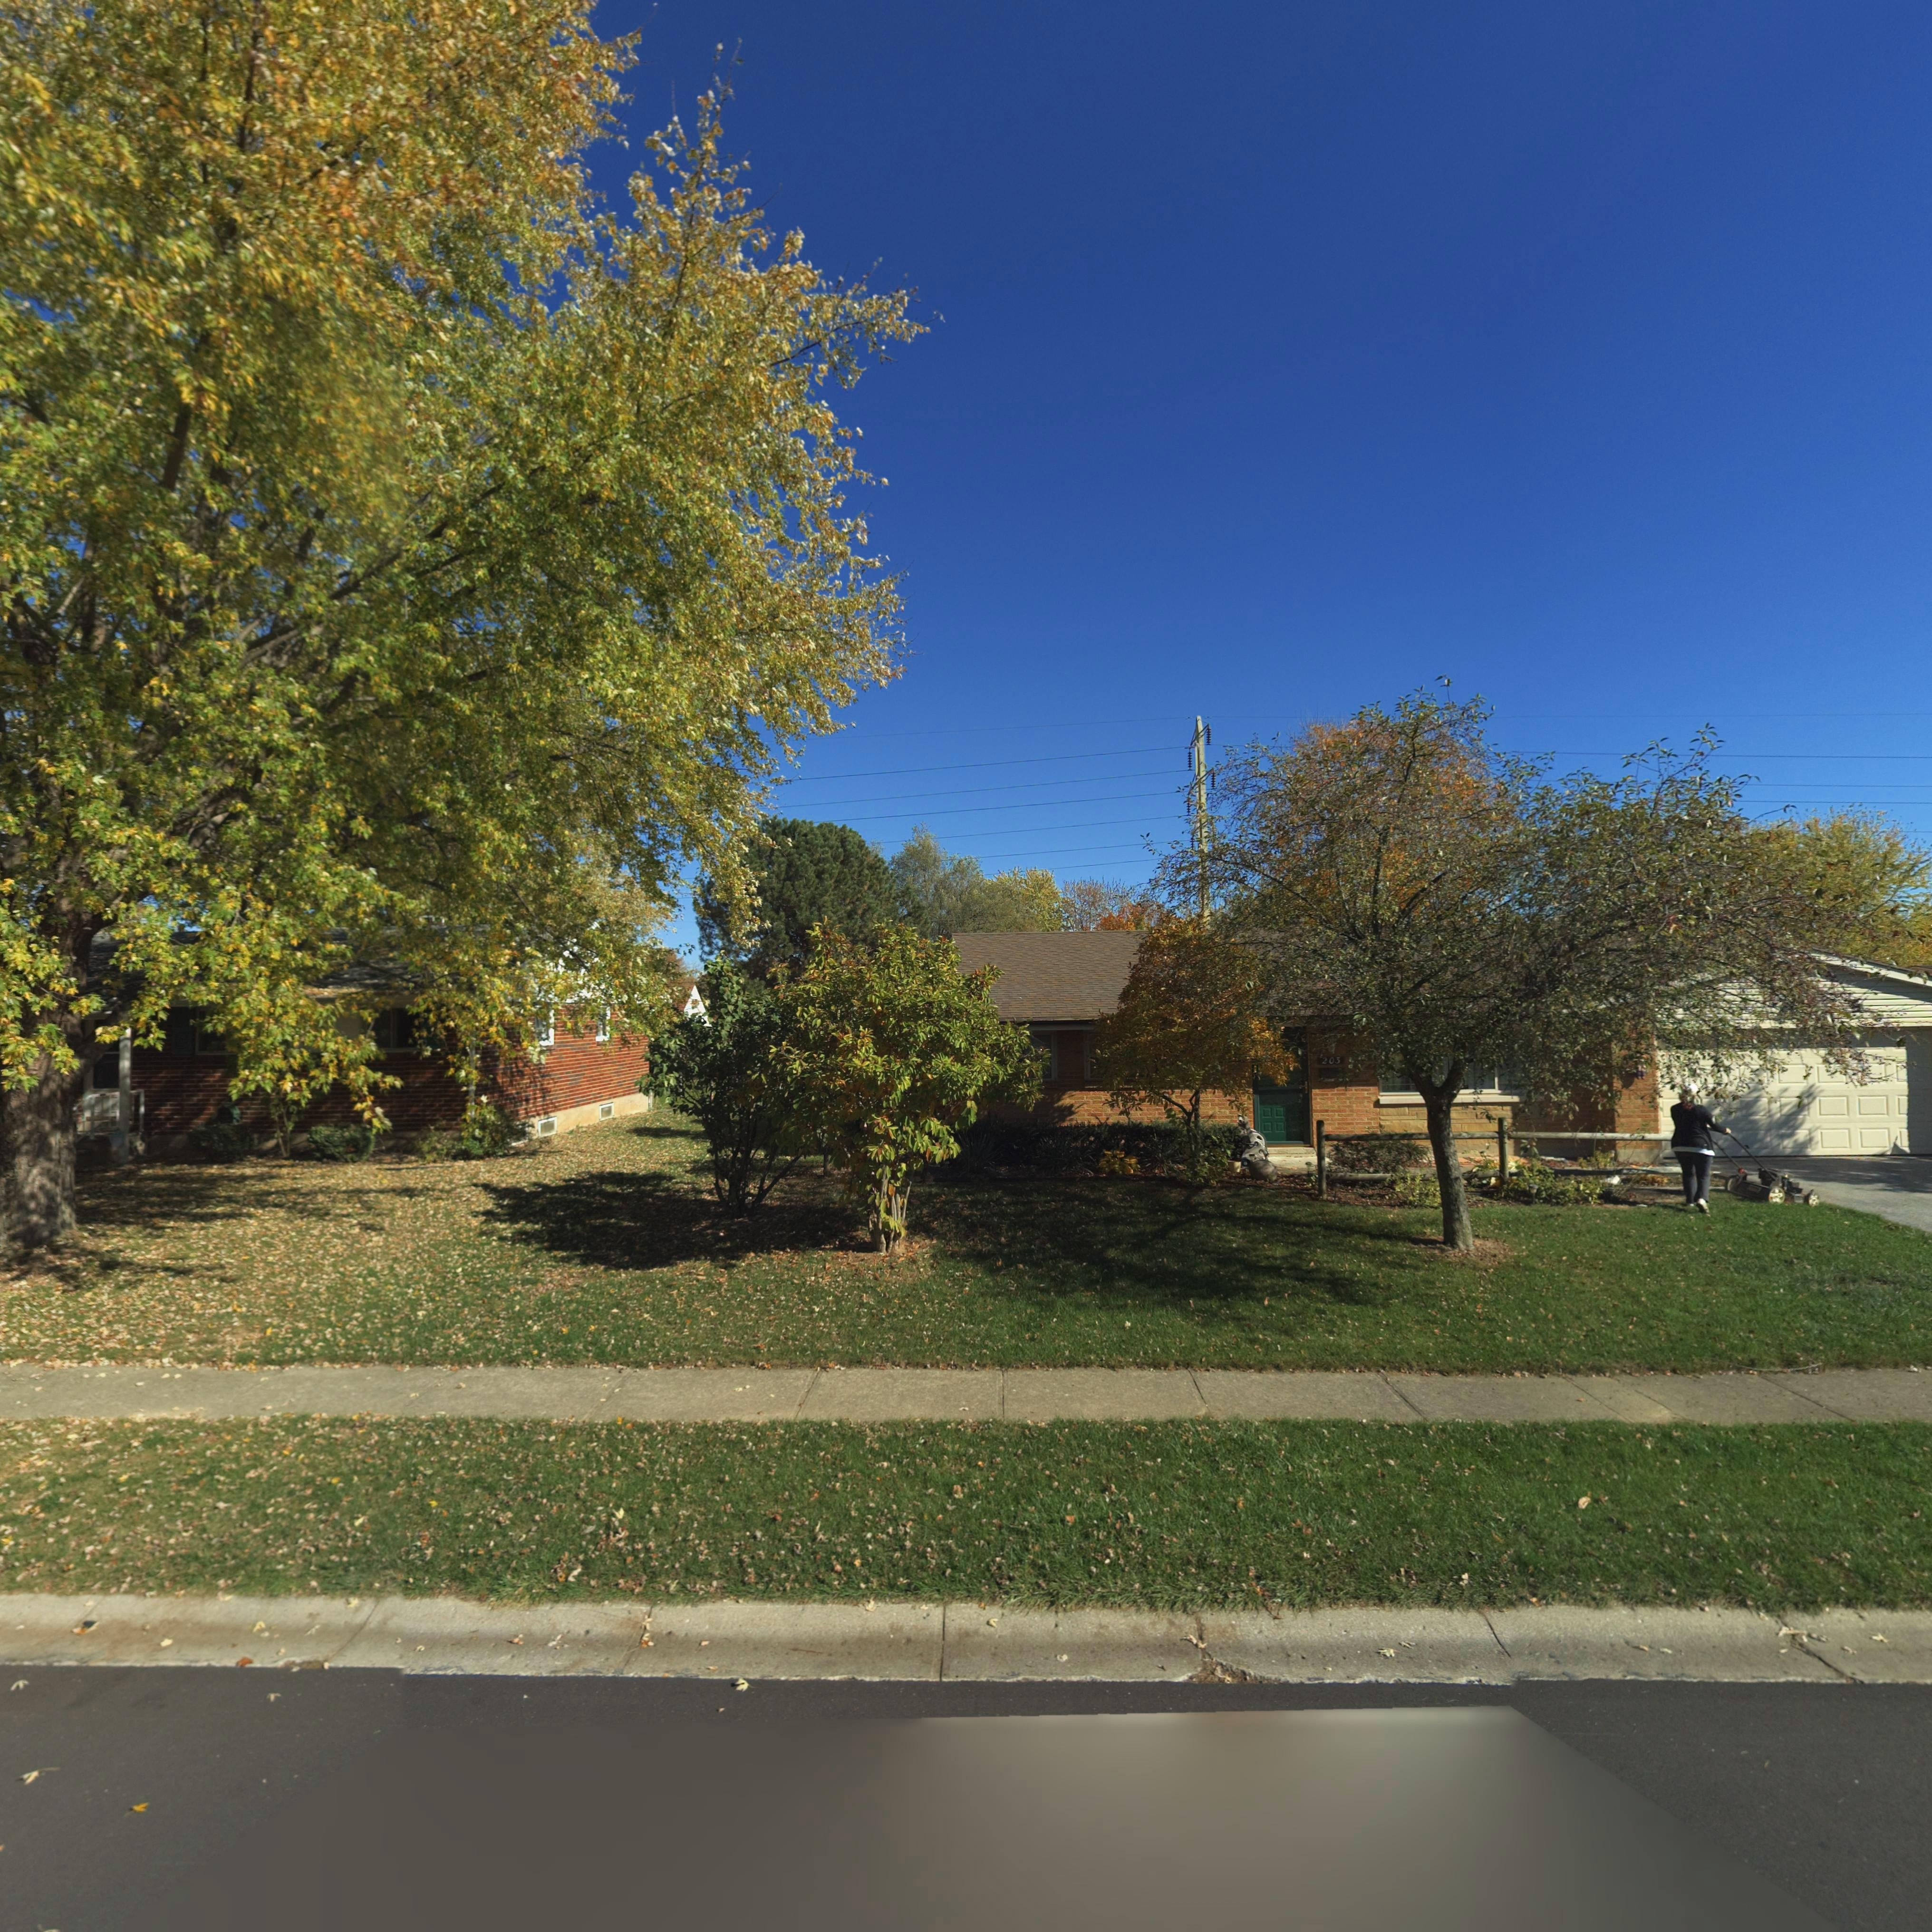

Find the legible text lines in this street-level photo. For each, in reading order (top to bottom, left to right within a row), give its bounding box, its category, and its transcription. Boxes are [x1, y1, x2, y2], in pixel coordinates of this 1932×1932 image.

[1322, 1056, 1341, 1064] StreetNumber: 203